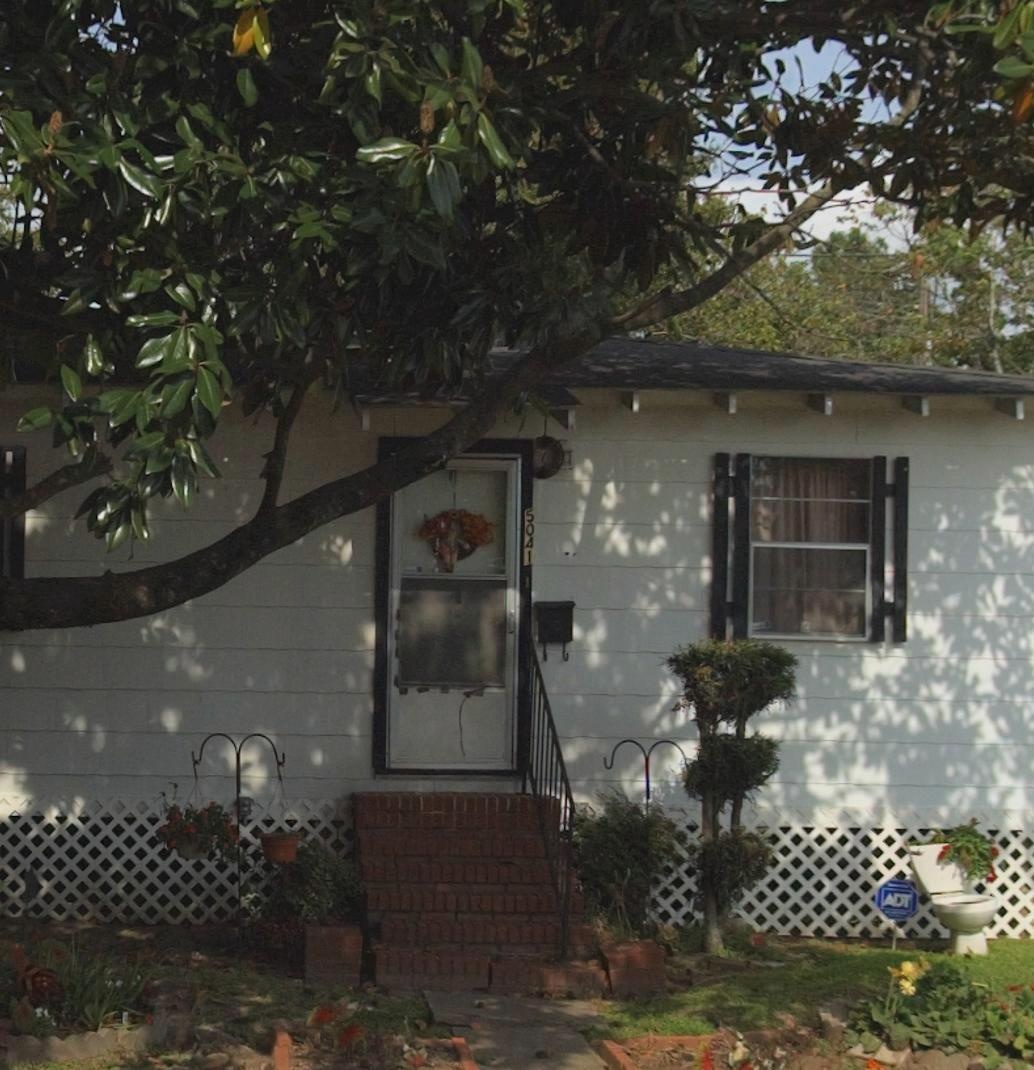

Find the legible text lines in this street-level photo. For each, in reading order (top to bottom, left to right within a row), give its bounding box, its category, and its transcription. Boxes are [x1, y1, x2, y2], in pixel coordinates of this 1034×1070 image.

[523, 505, 536, 568] StreetNumber: 5041
[880, 890, 912, 912] None: ADT